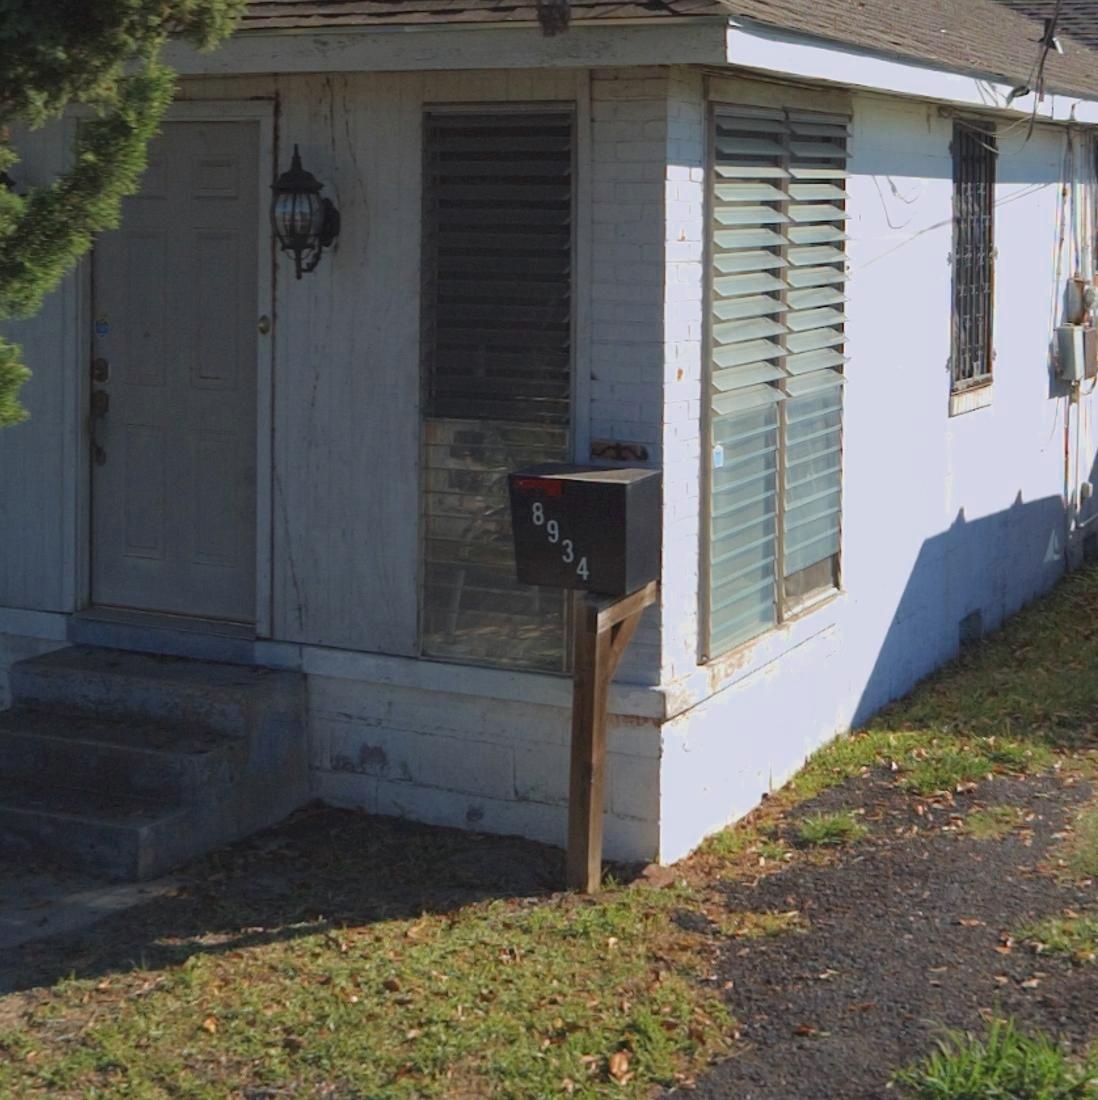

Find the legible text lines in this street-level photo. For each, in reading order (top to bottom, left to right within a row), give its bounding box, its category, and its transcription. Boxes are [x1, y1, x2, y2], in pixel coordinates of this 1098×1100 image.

[524, 491, 595, 595] StreetNumber: 8934